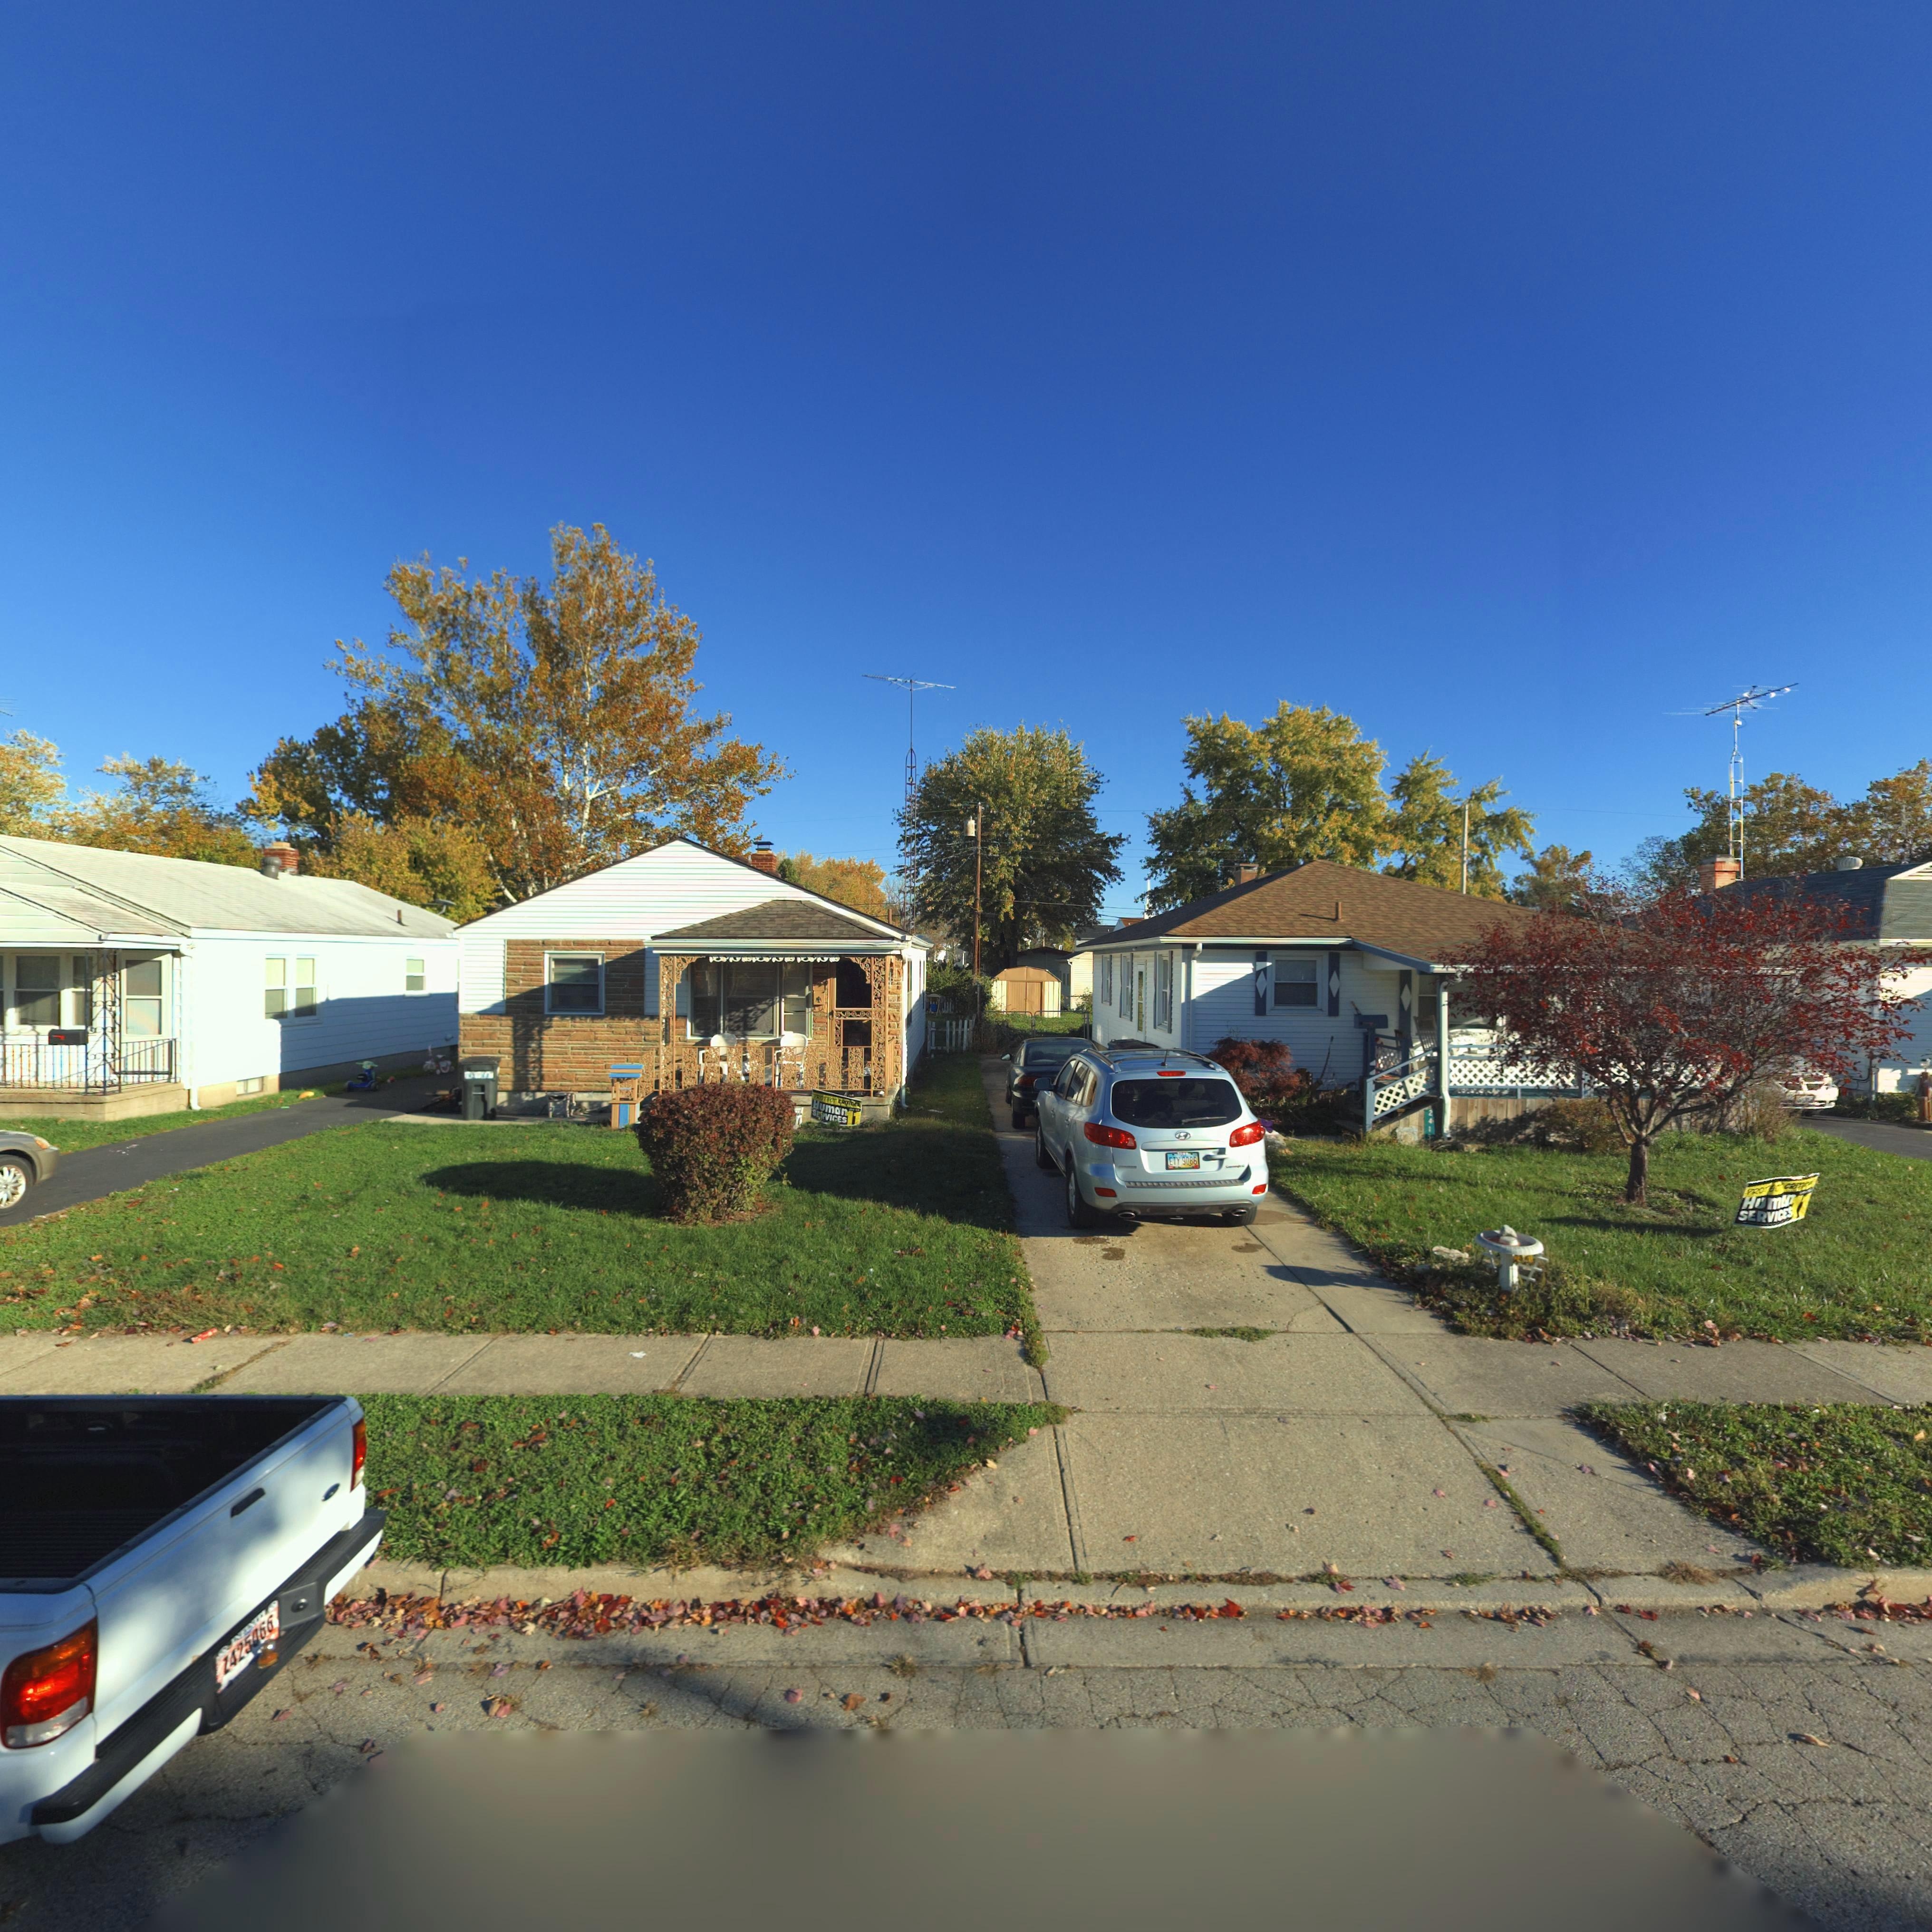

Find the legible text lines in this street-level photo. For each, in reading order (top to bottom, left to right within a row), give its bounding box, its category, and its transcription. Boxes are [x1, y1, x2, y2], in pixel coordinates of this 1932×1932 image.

[665, 1017, 670, 1043] StreetNumber: 2425
[1426, 1109, 1434, 1140] StreetNumber: 2415